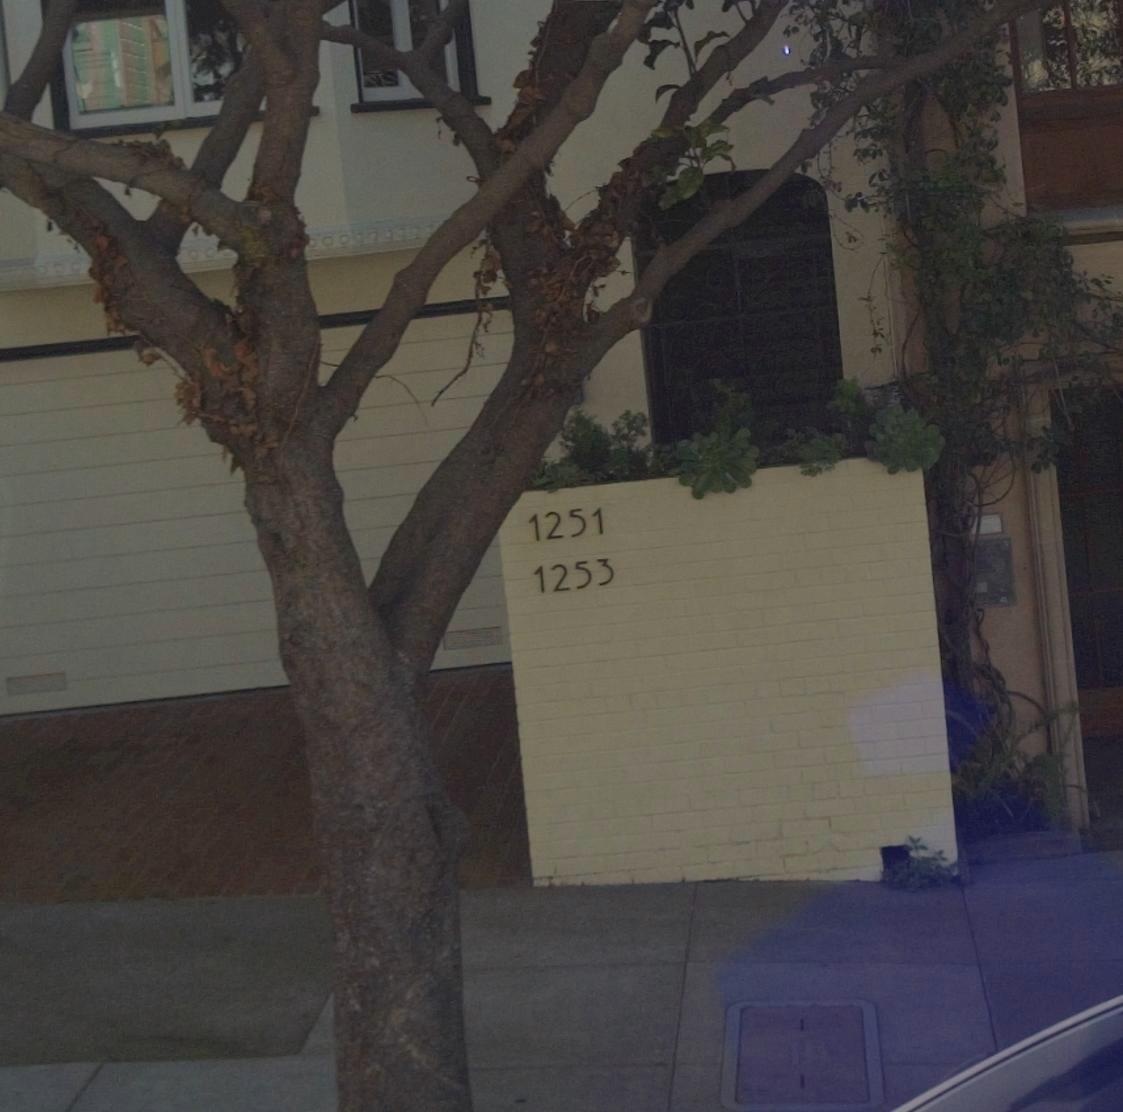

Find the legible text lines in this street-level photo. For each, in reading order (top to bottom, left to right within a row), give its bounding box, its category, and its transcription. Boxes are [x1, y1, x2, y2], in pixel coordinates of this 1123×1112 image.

[525, 505, 605, 543] StreetNumber: 1251
[532, 556, 616, 595] StreetNumber: 1253